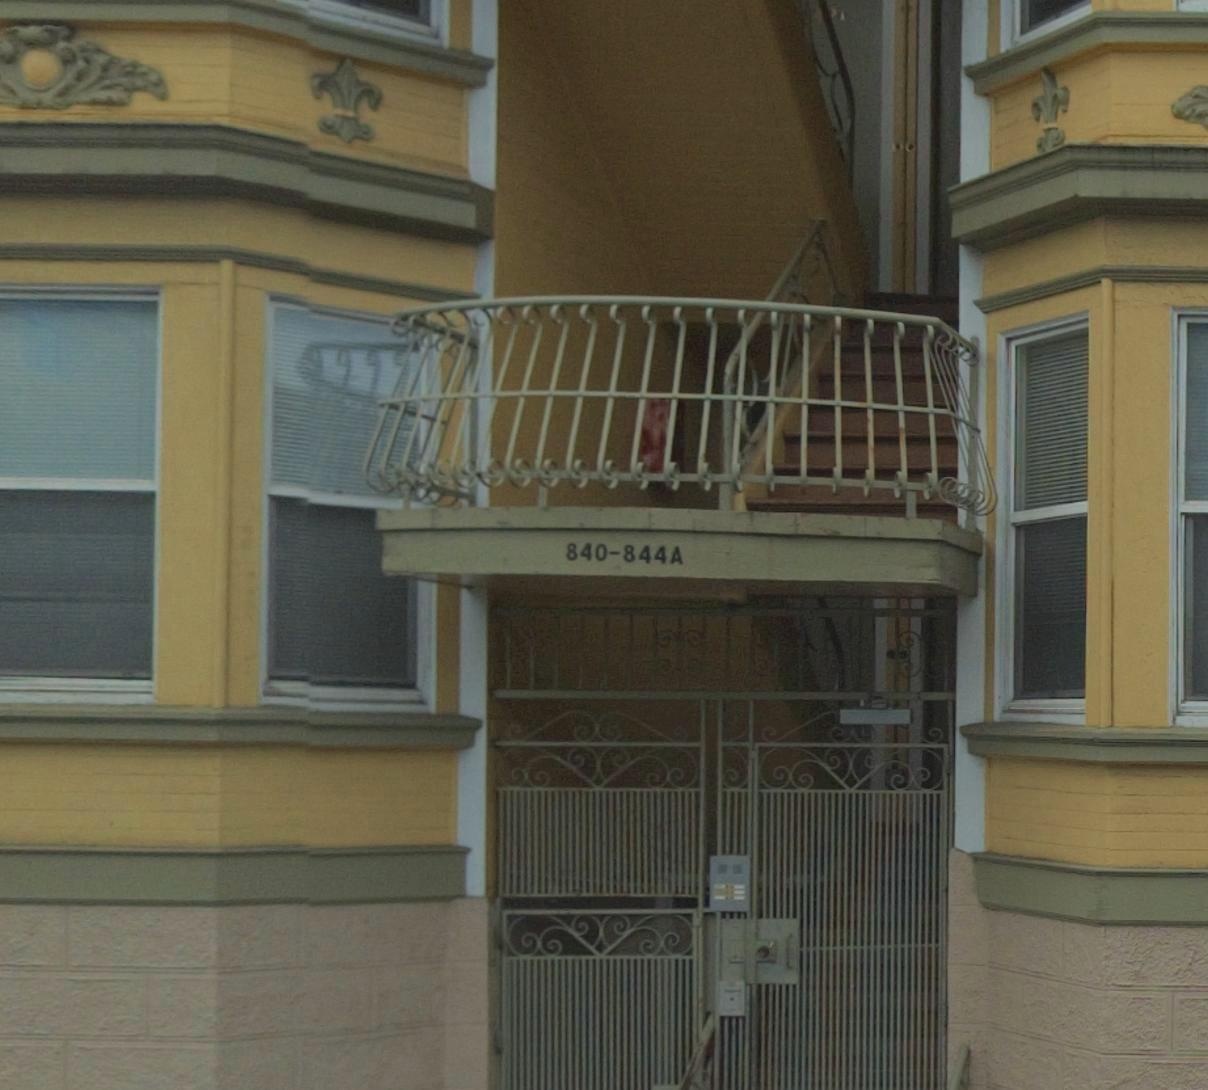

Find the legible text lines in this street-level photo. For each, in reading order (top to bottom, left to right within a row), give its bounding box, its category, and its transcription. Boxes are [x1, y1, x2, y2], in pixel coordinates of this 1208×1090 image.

[564, 541, 609, 562] StreetNumber: 840
[623, 543, 684, 565] StreetNumber: 844A